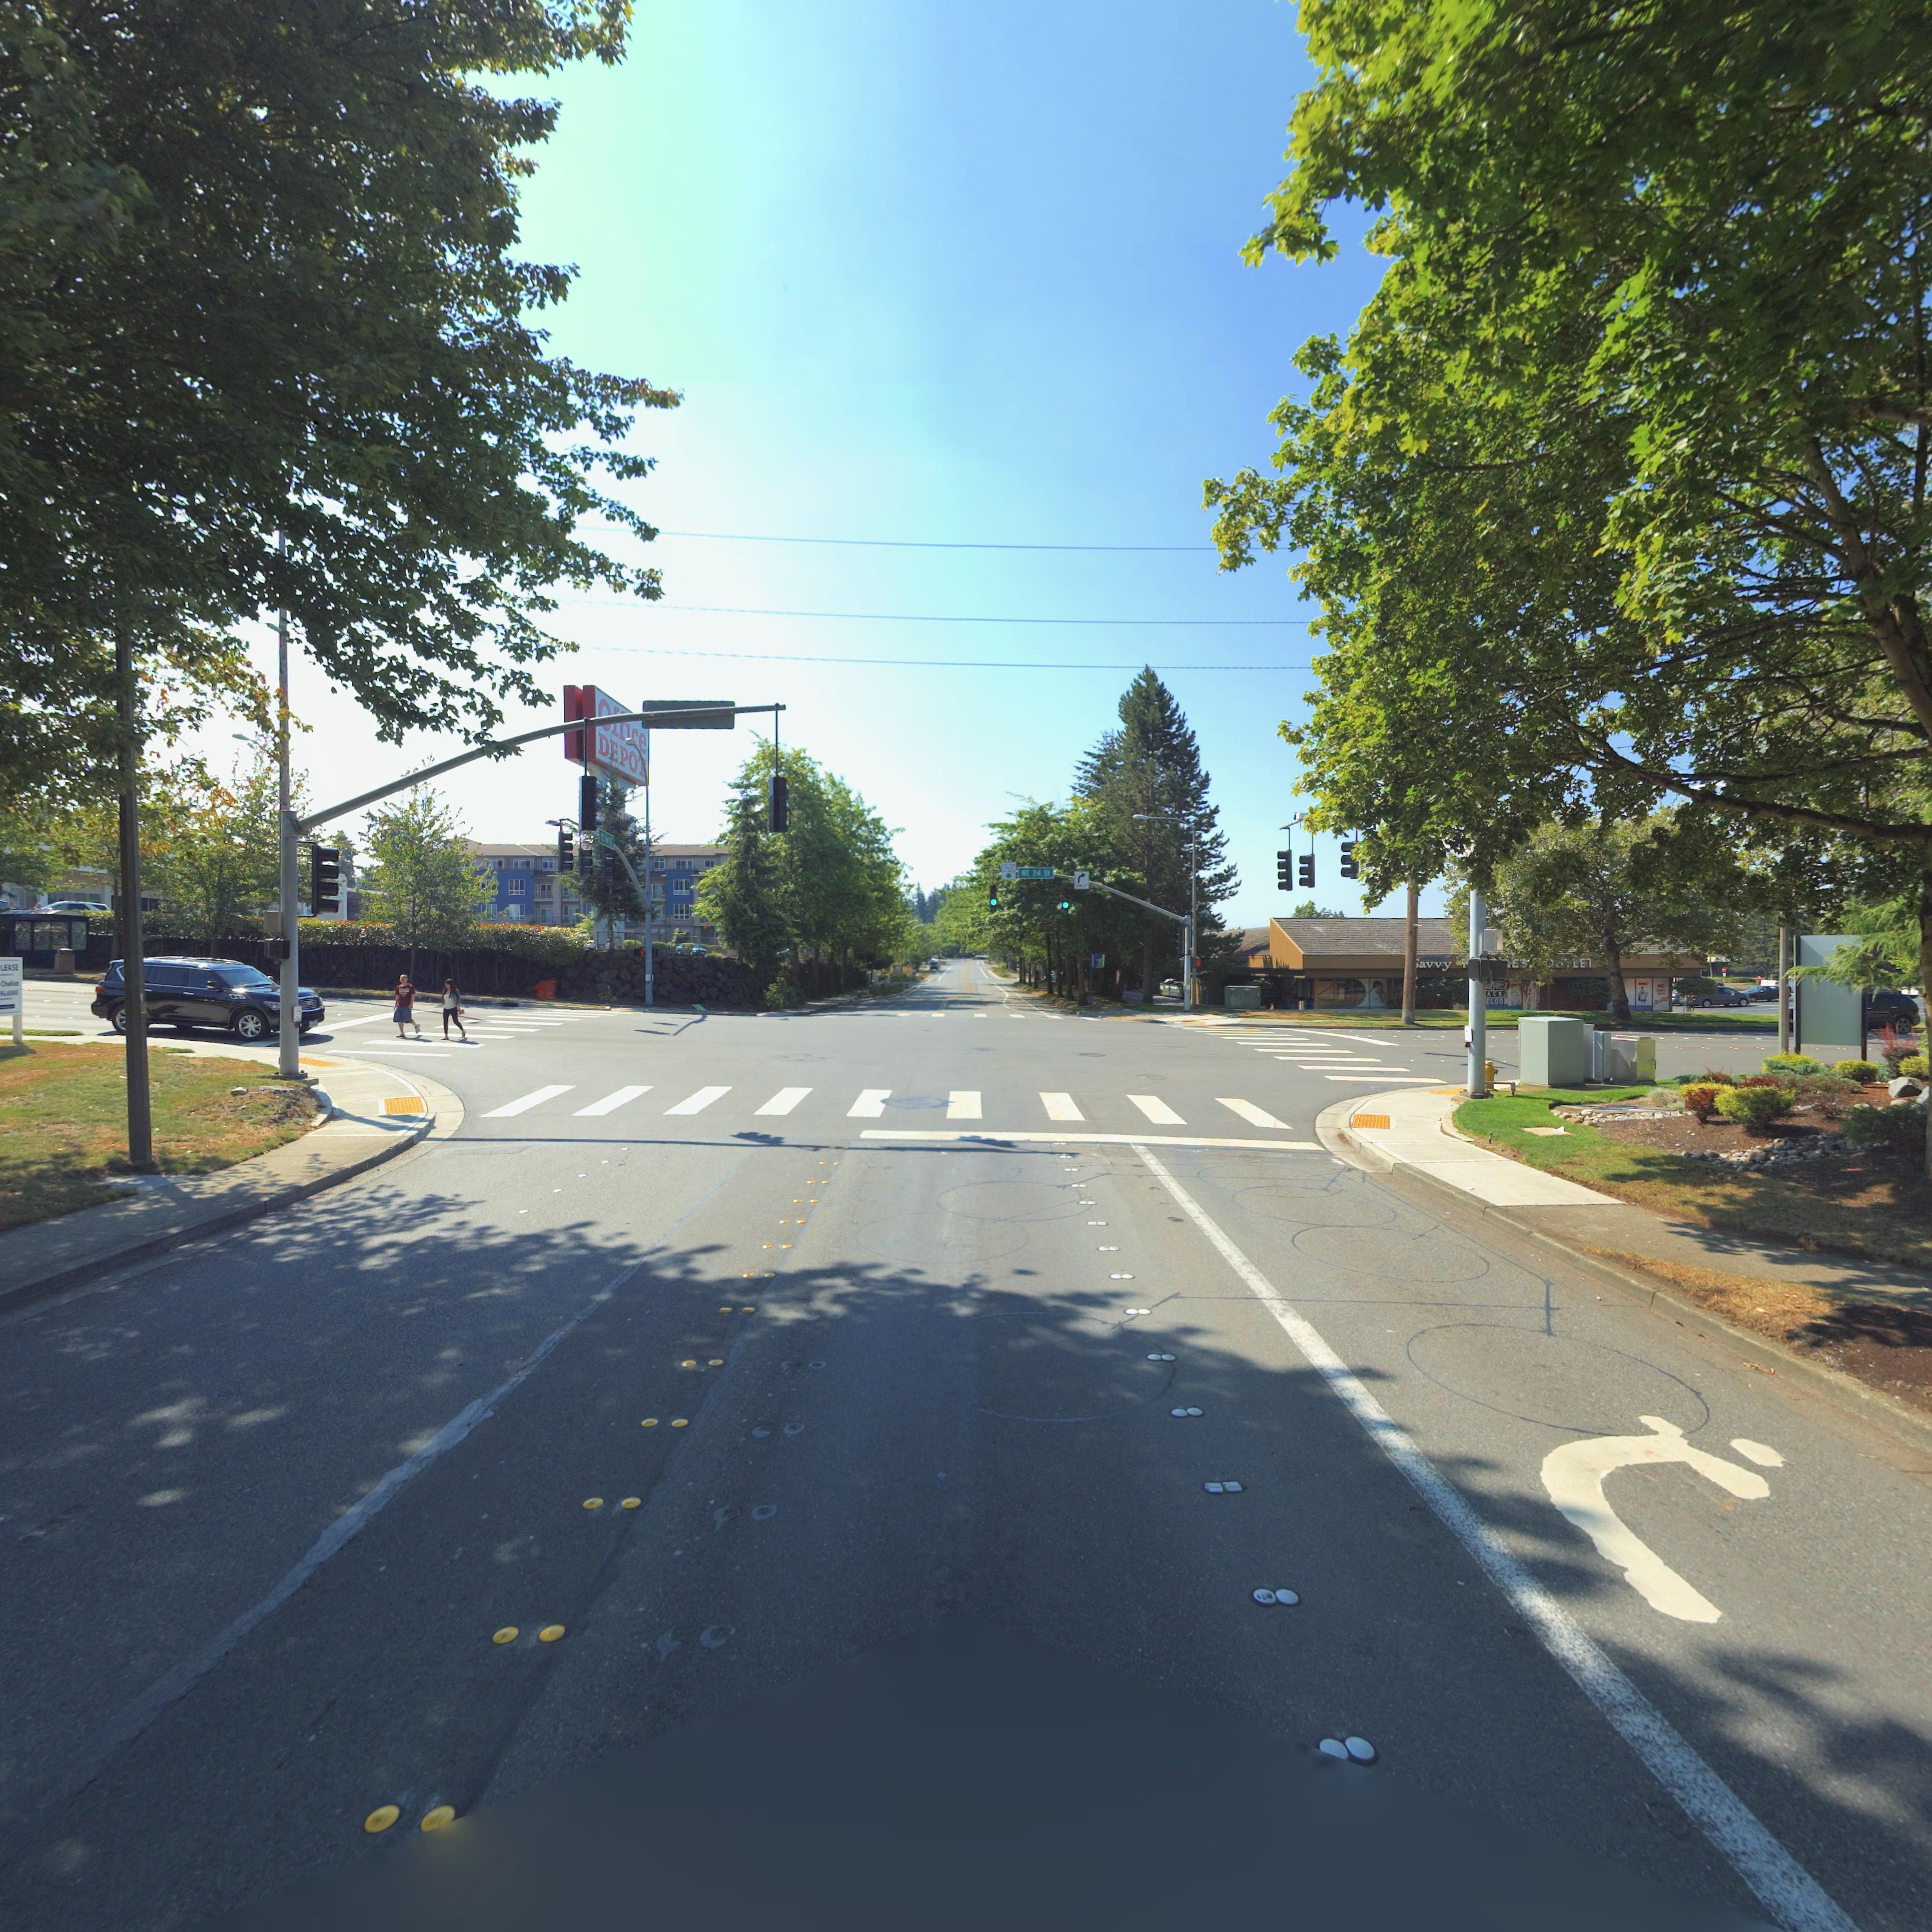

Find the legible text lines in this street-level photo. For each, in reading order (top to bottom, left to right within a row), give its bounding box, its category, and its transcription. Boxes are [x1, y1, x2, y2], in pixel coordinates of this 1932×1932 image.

[598, 732, 639, 773] BusinessName: DEPO
[638, 732, 647, 755] BusinessName: e
[1021, 869, 1051, 877] StreetName: NE 24 St
[1418, 961, 1452, 972] BusinessName: avvy